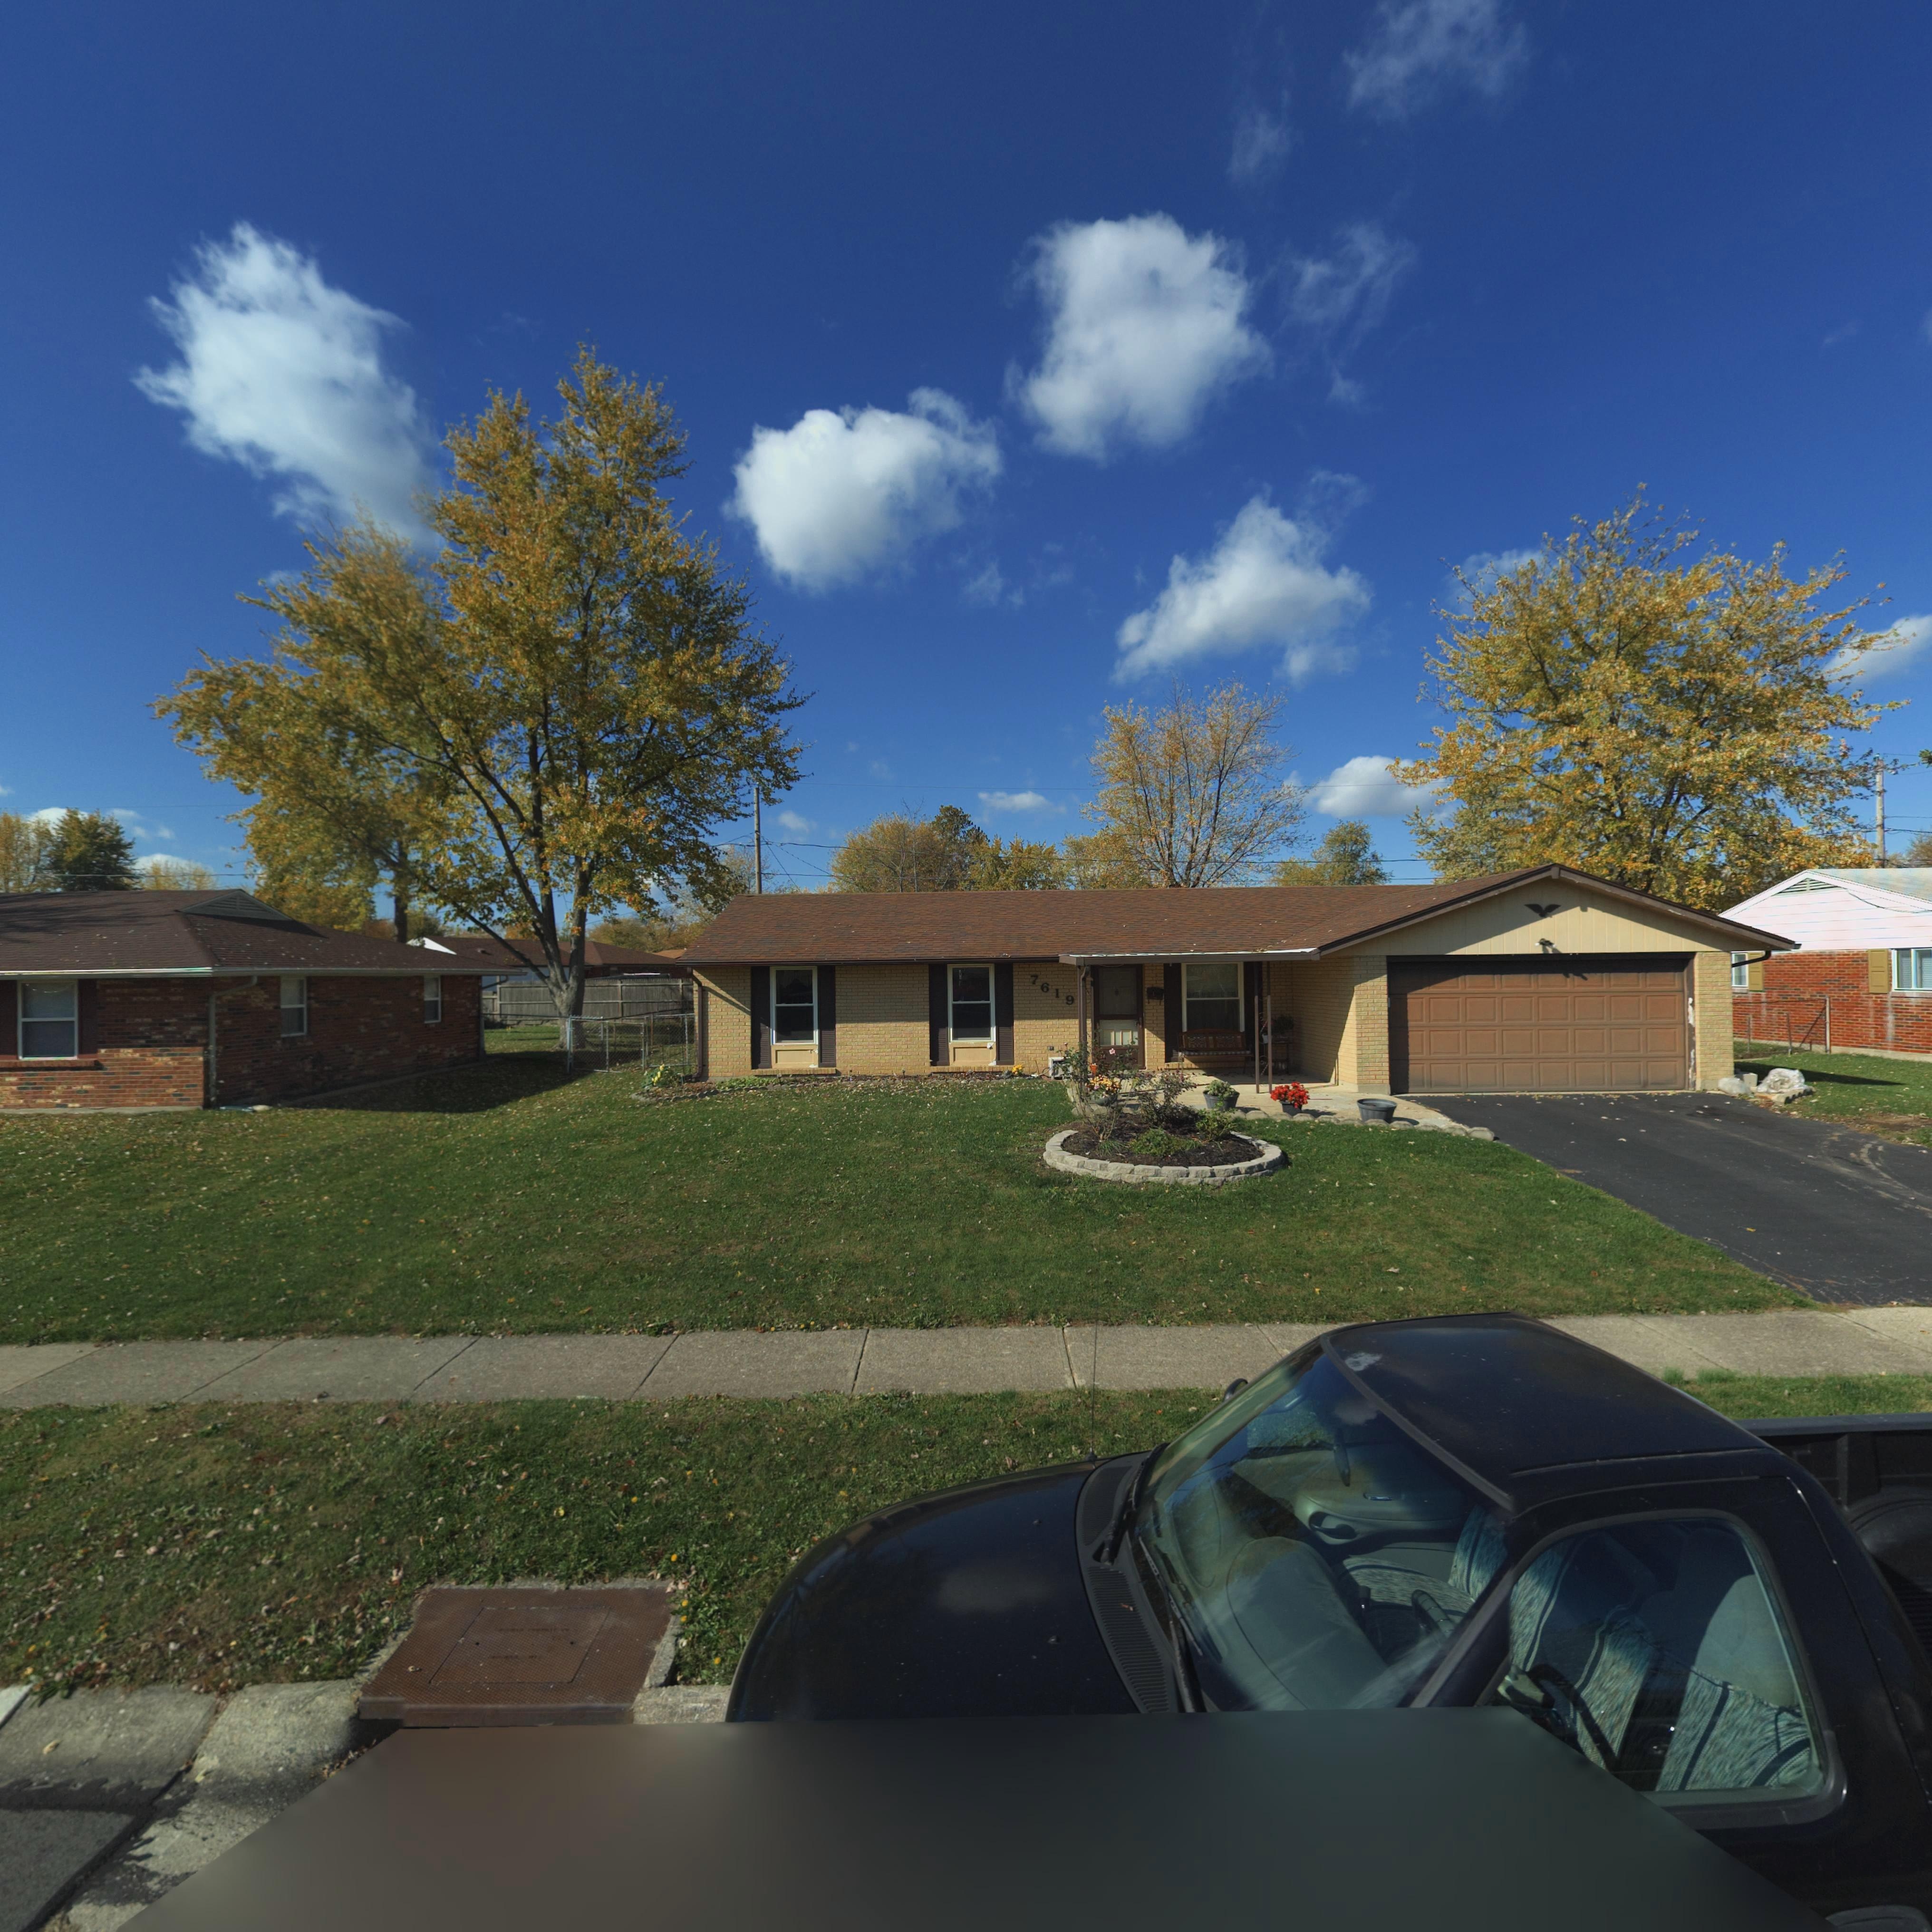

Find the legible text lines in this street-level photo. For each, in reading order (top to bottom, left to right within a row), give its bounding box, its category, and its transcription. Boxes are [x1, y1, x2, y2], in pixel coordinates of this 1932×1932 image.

[1029, 974, 1076, 1007] StreetNumber: 7619